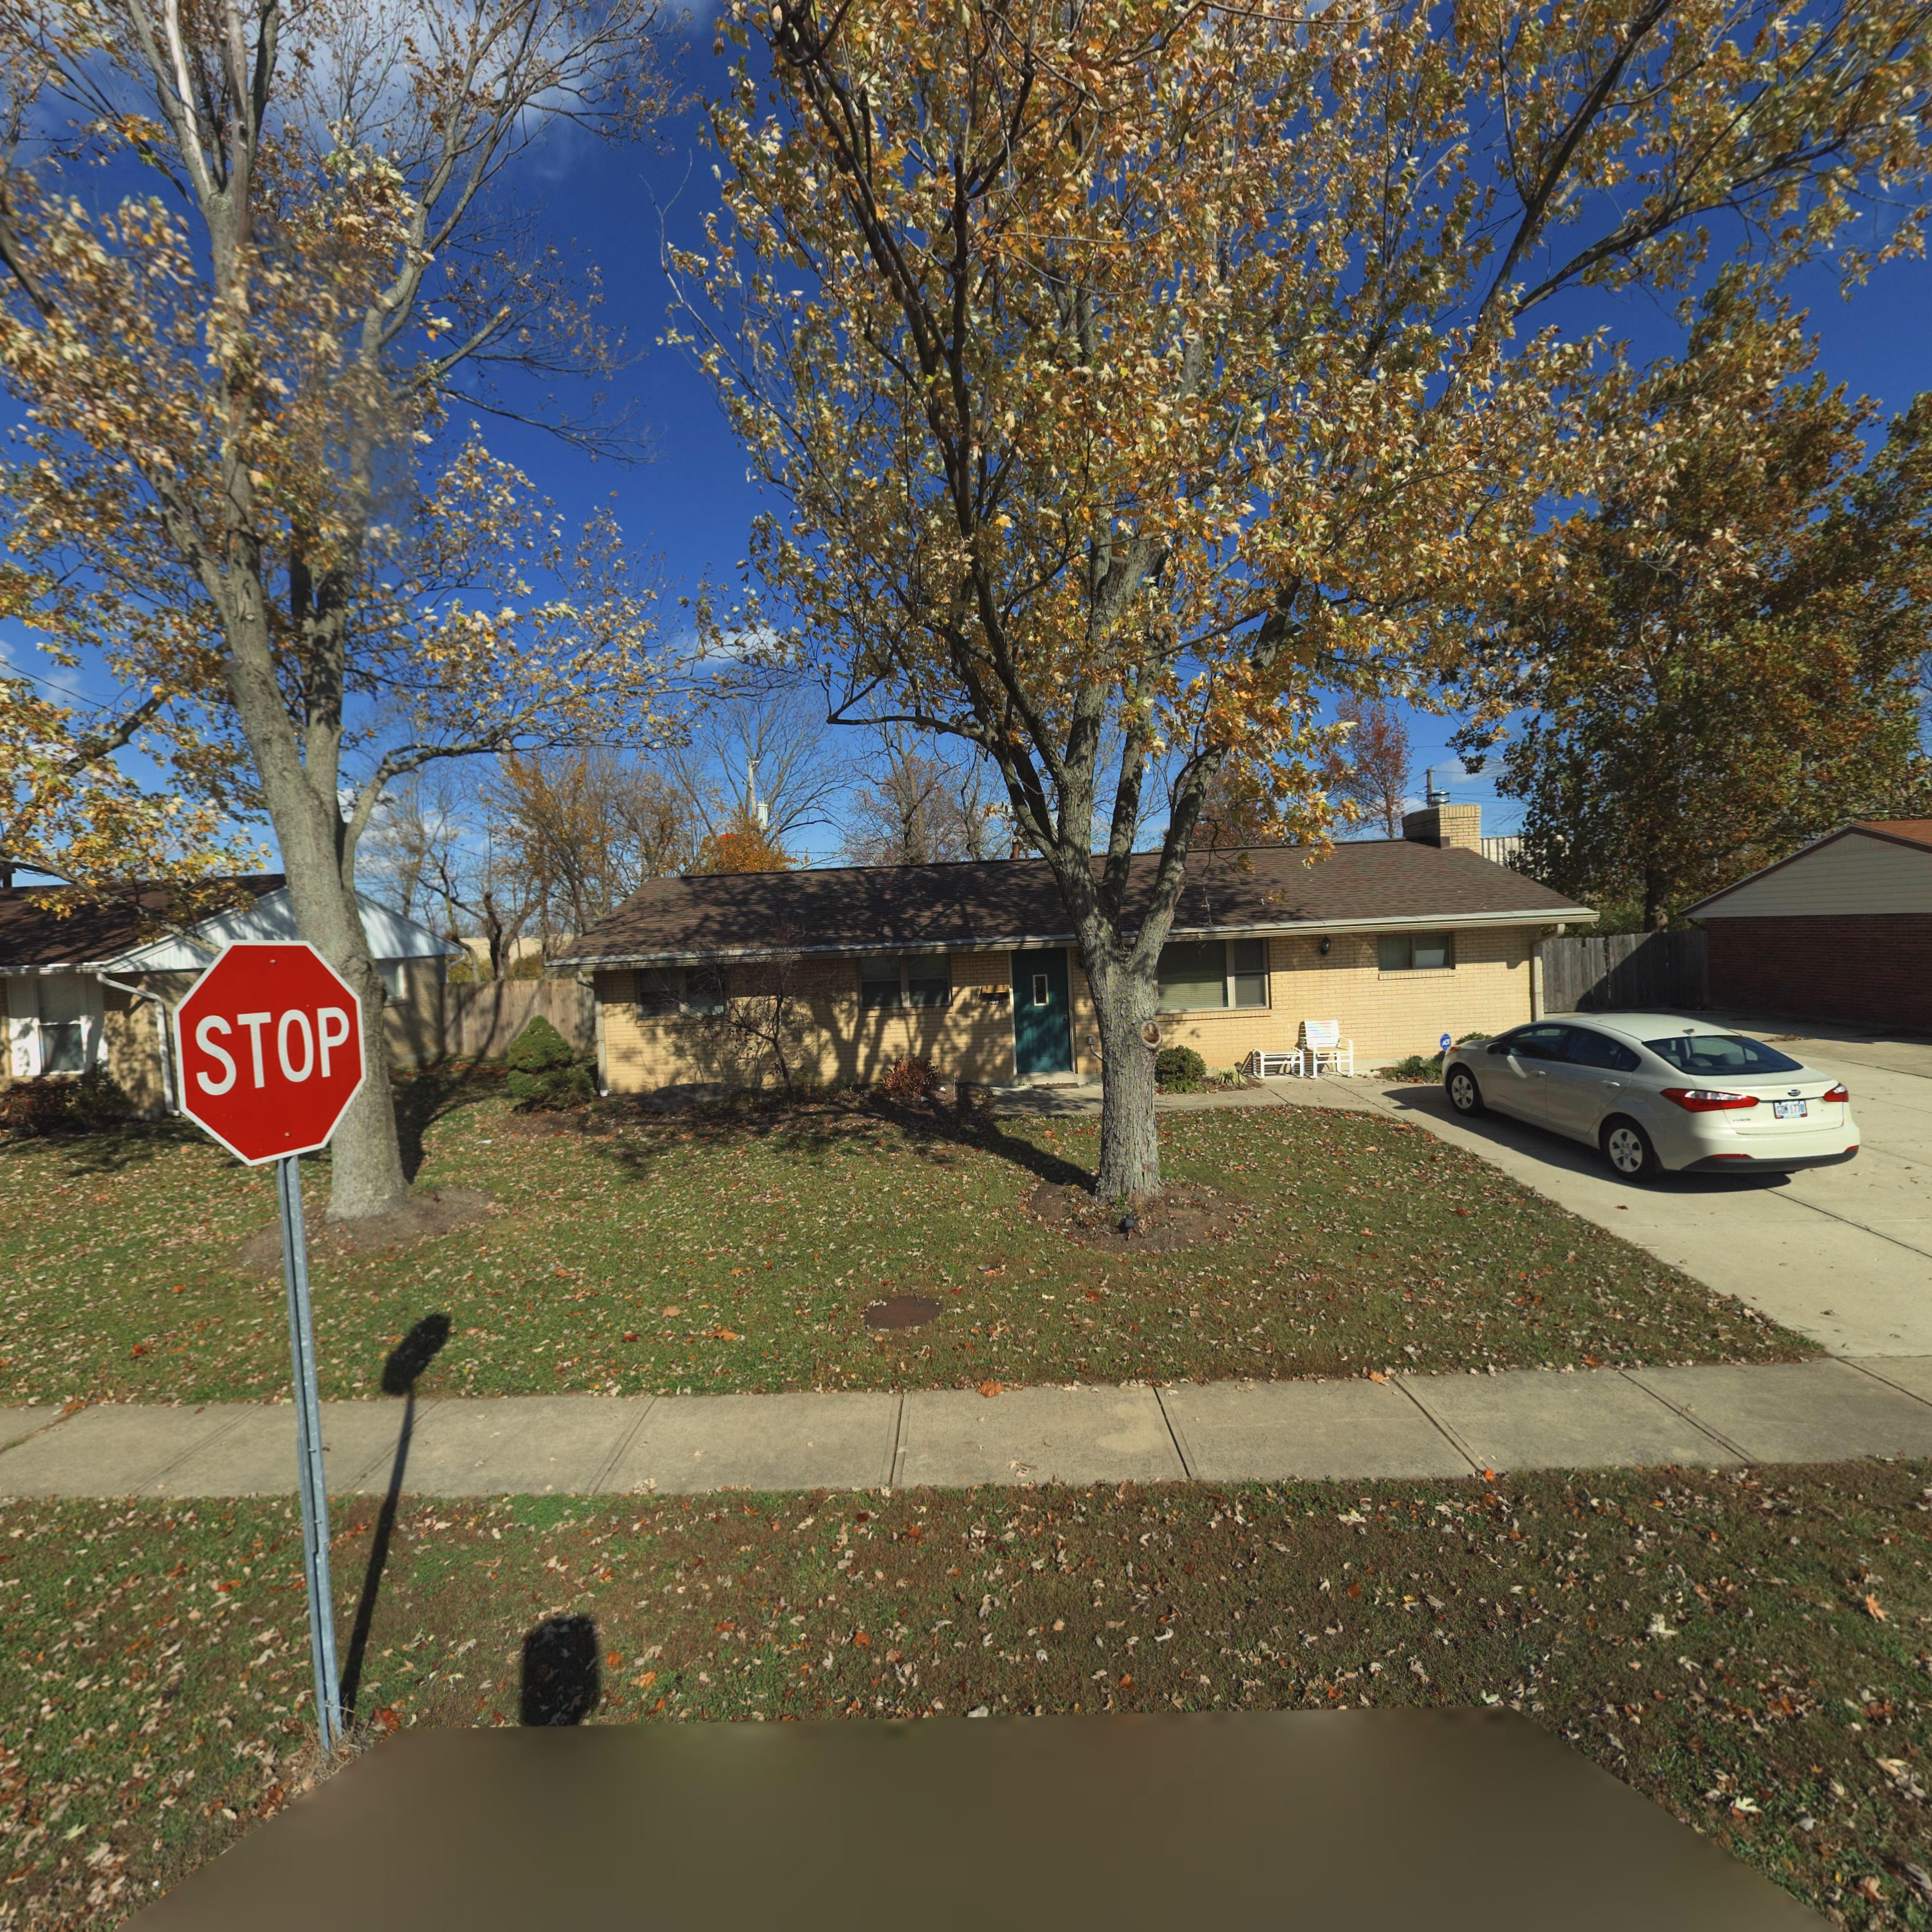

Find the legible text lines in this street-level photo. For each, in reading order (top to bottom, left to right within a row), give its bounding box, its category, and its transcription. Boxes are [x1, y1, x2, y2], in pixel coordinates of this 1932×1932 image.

[987, 998, 1003, 1005] StreetNumber: 6891